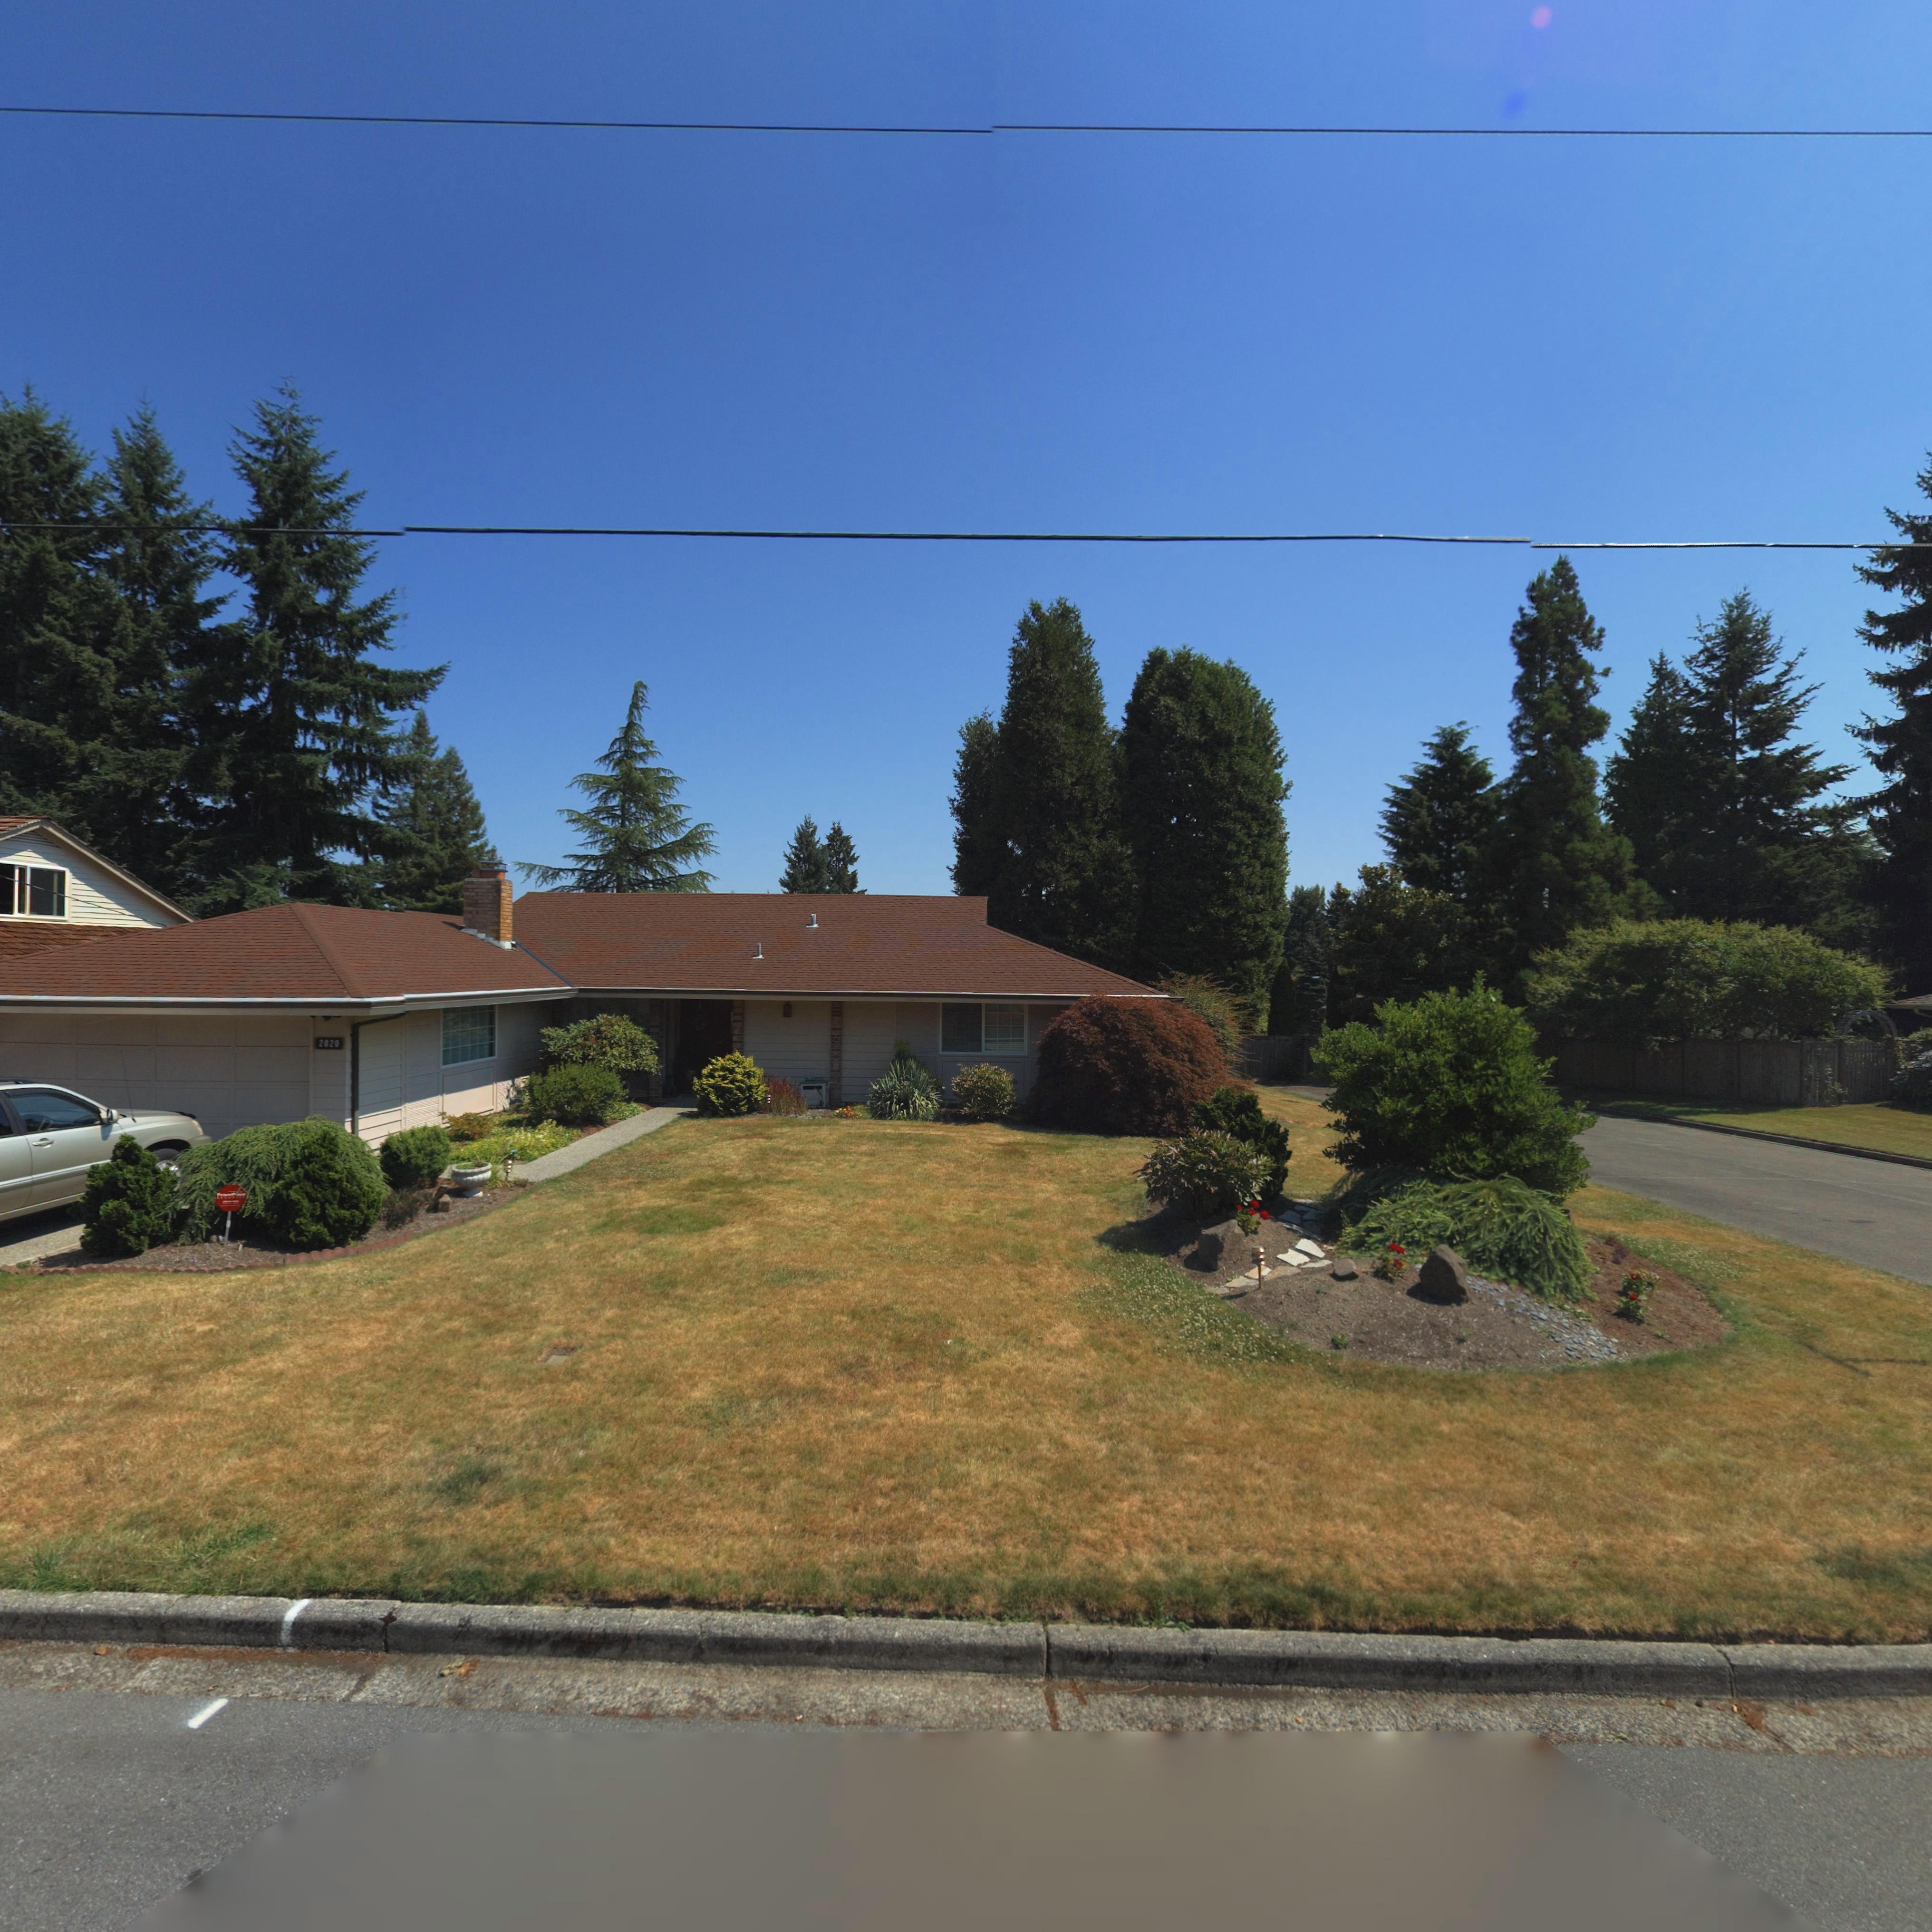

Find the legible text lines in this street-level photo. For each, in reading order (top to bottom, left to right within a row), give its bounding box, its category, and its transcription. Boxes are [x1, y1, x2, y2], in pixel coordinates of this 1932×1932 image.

[319, 1039, 340, 1048] StreetNumber: 2020